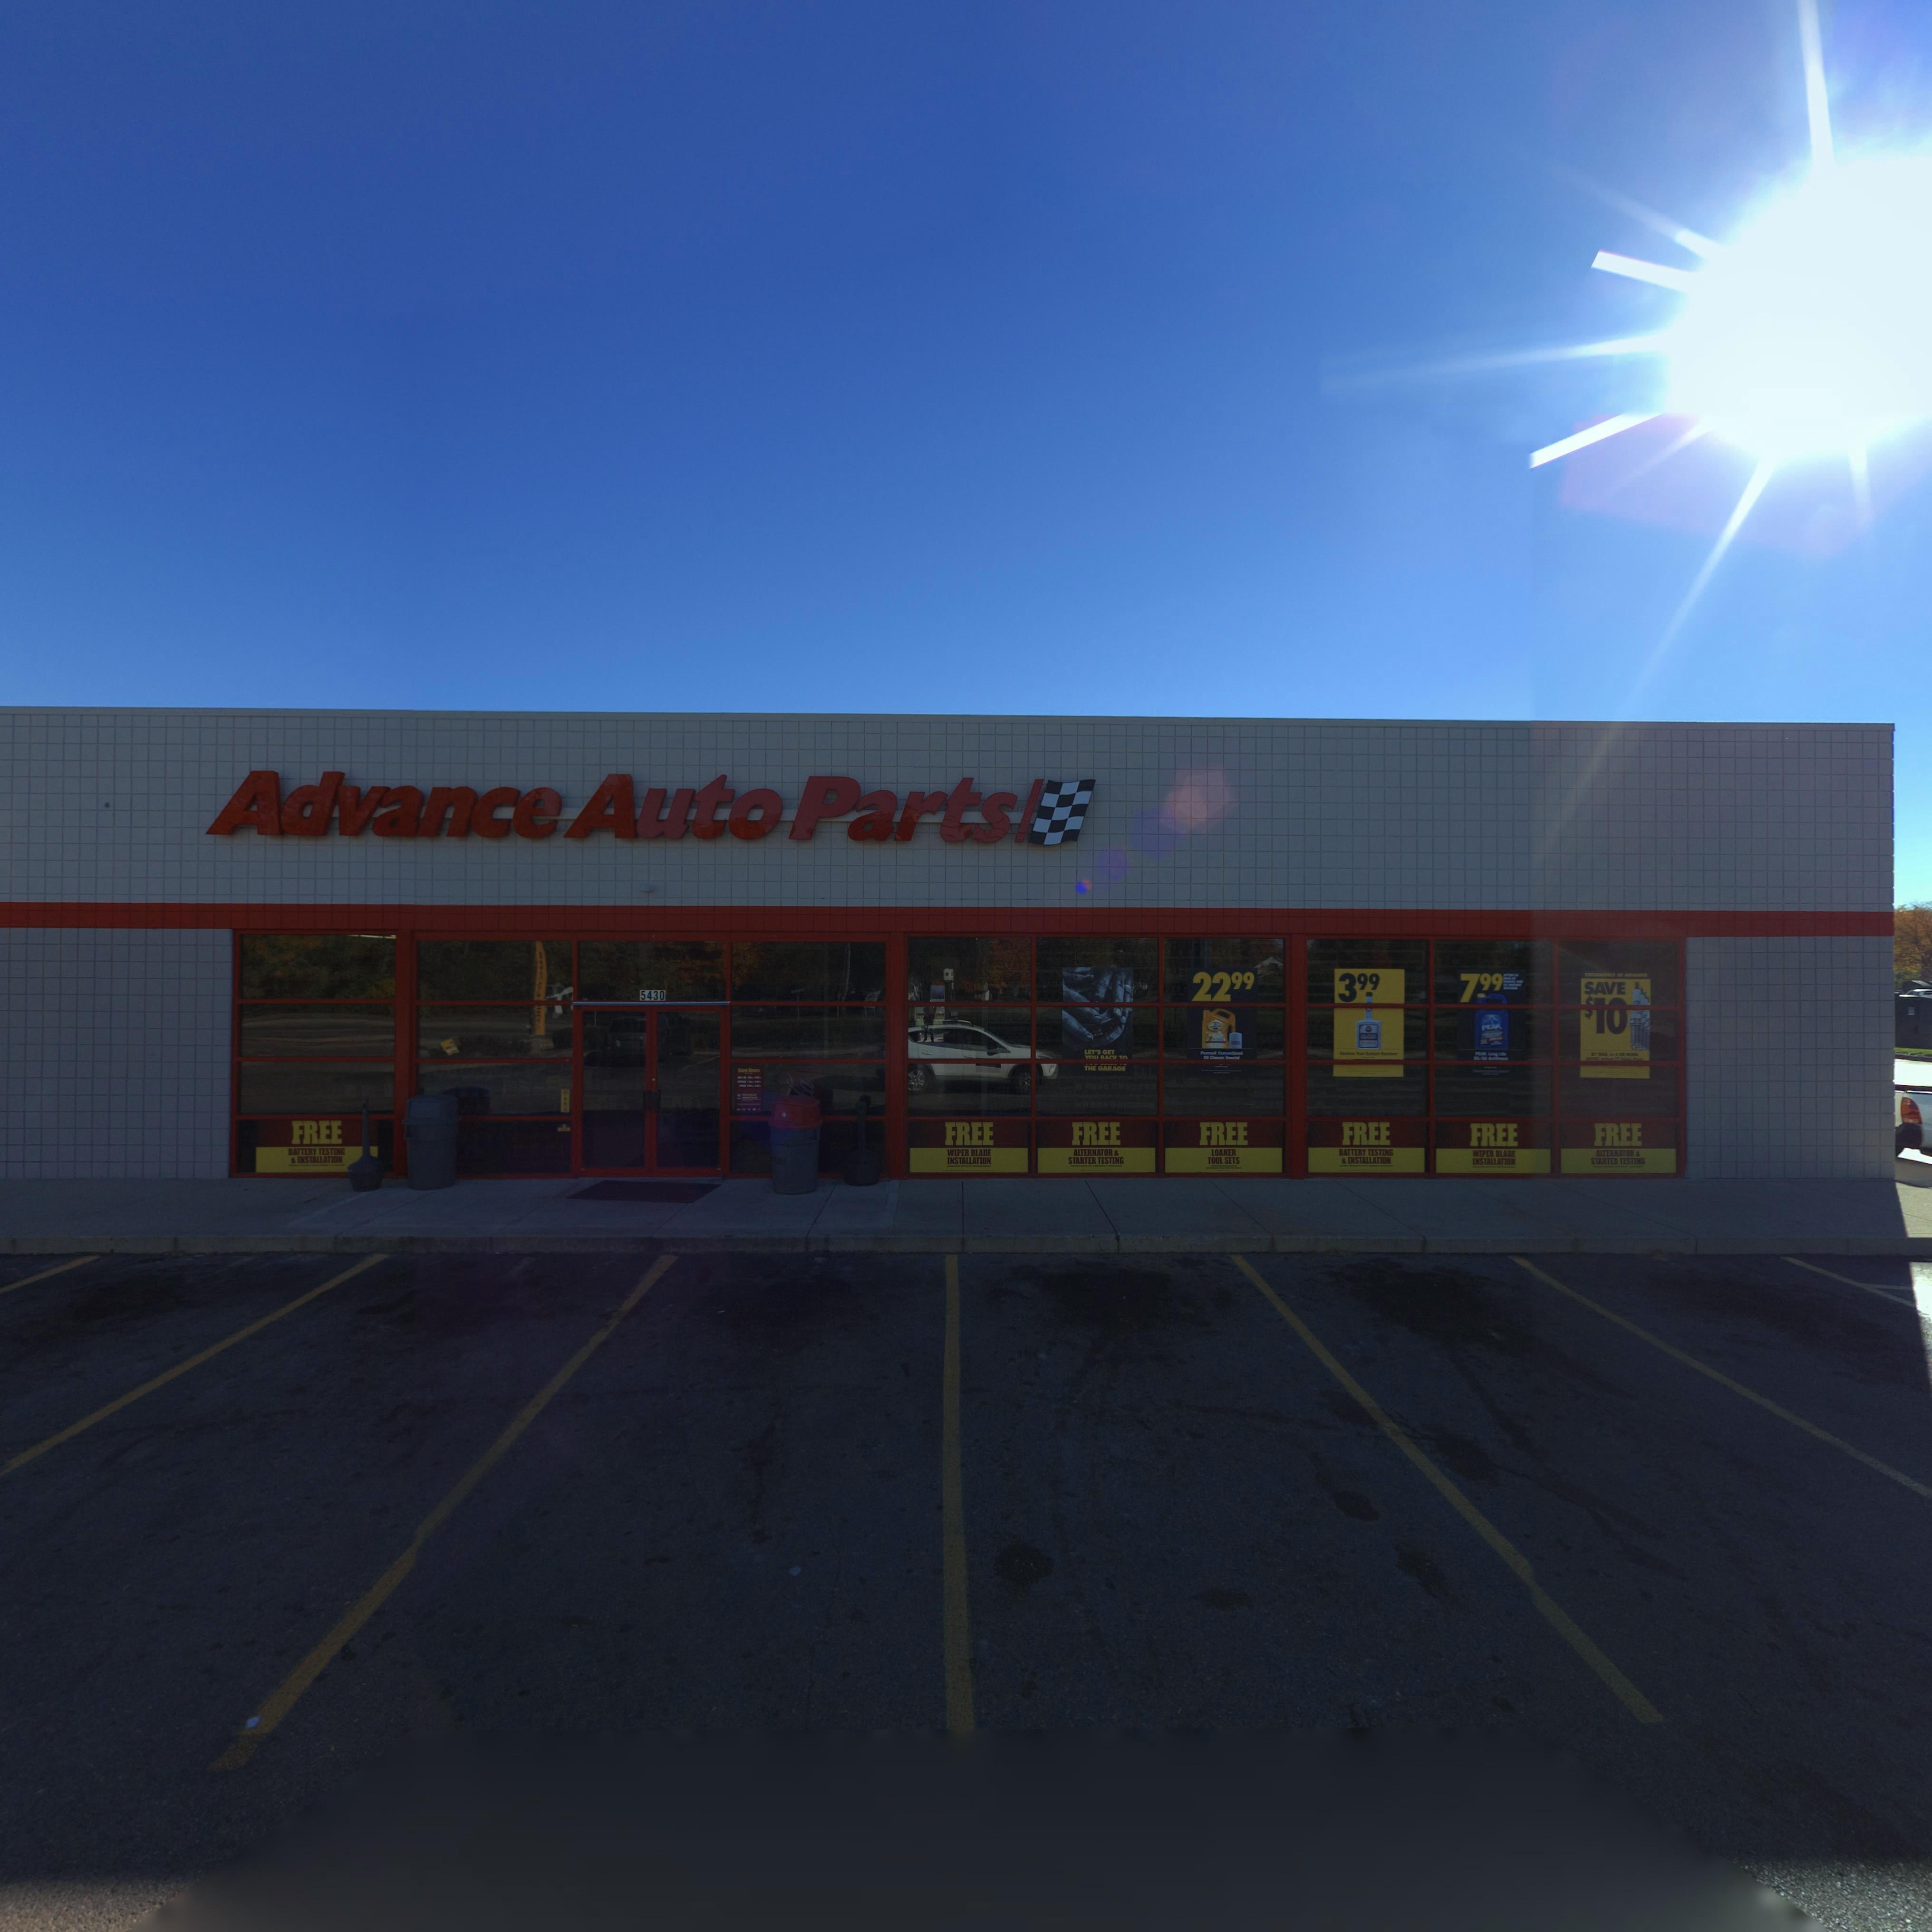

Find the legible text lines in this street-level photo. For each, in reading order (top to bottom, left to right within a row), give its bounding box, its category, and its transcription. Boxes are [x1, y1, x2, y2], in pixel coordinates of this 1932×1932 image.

[640, 989, 666, 1001] StreetNumber: 5430